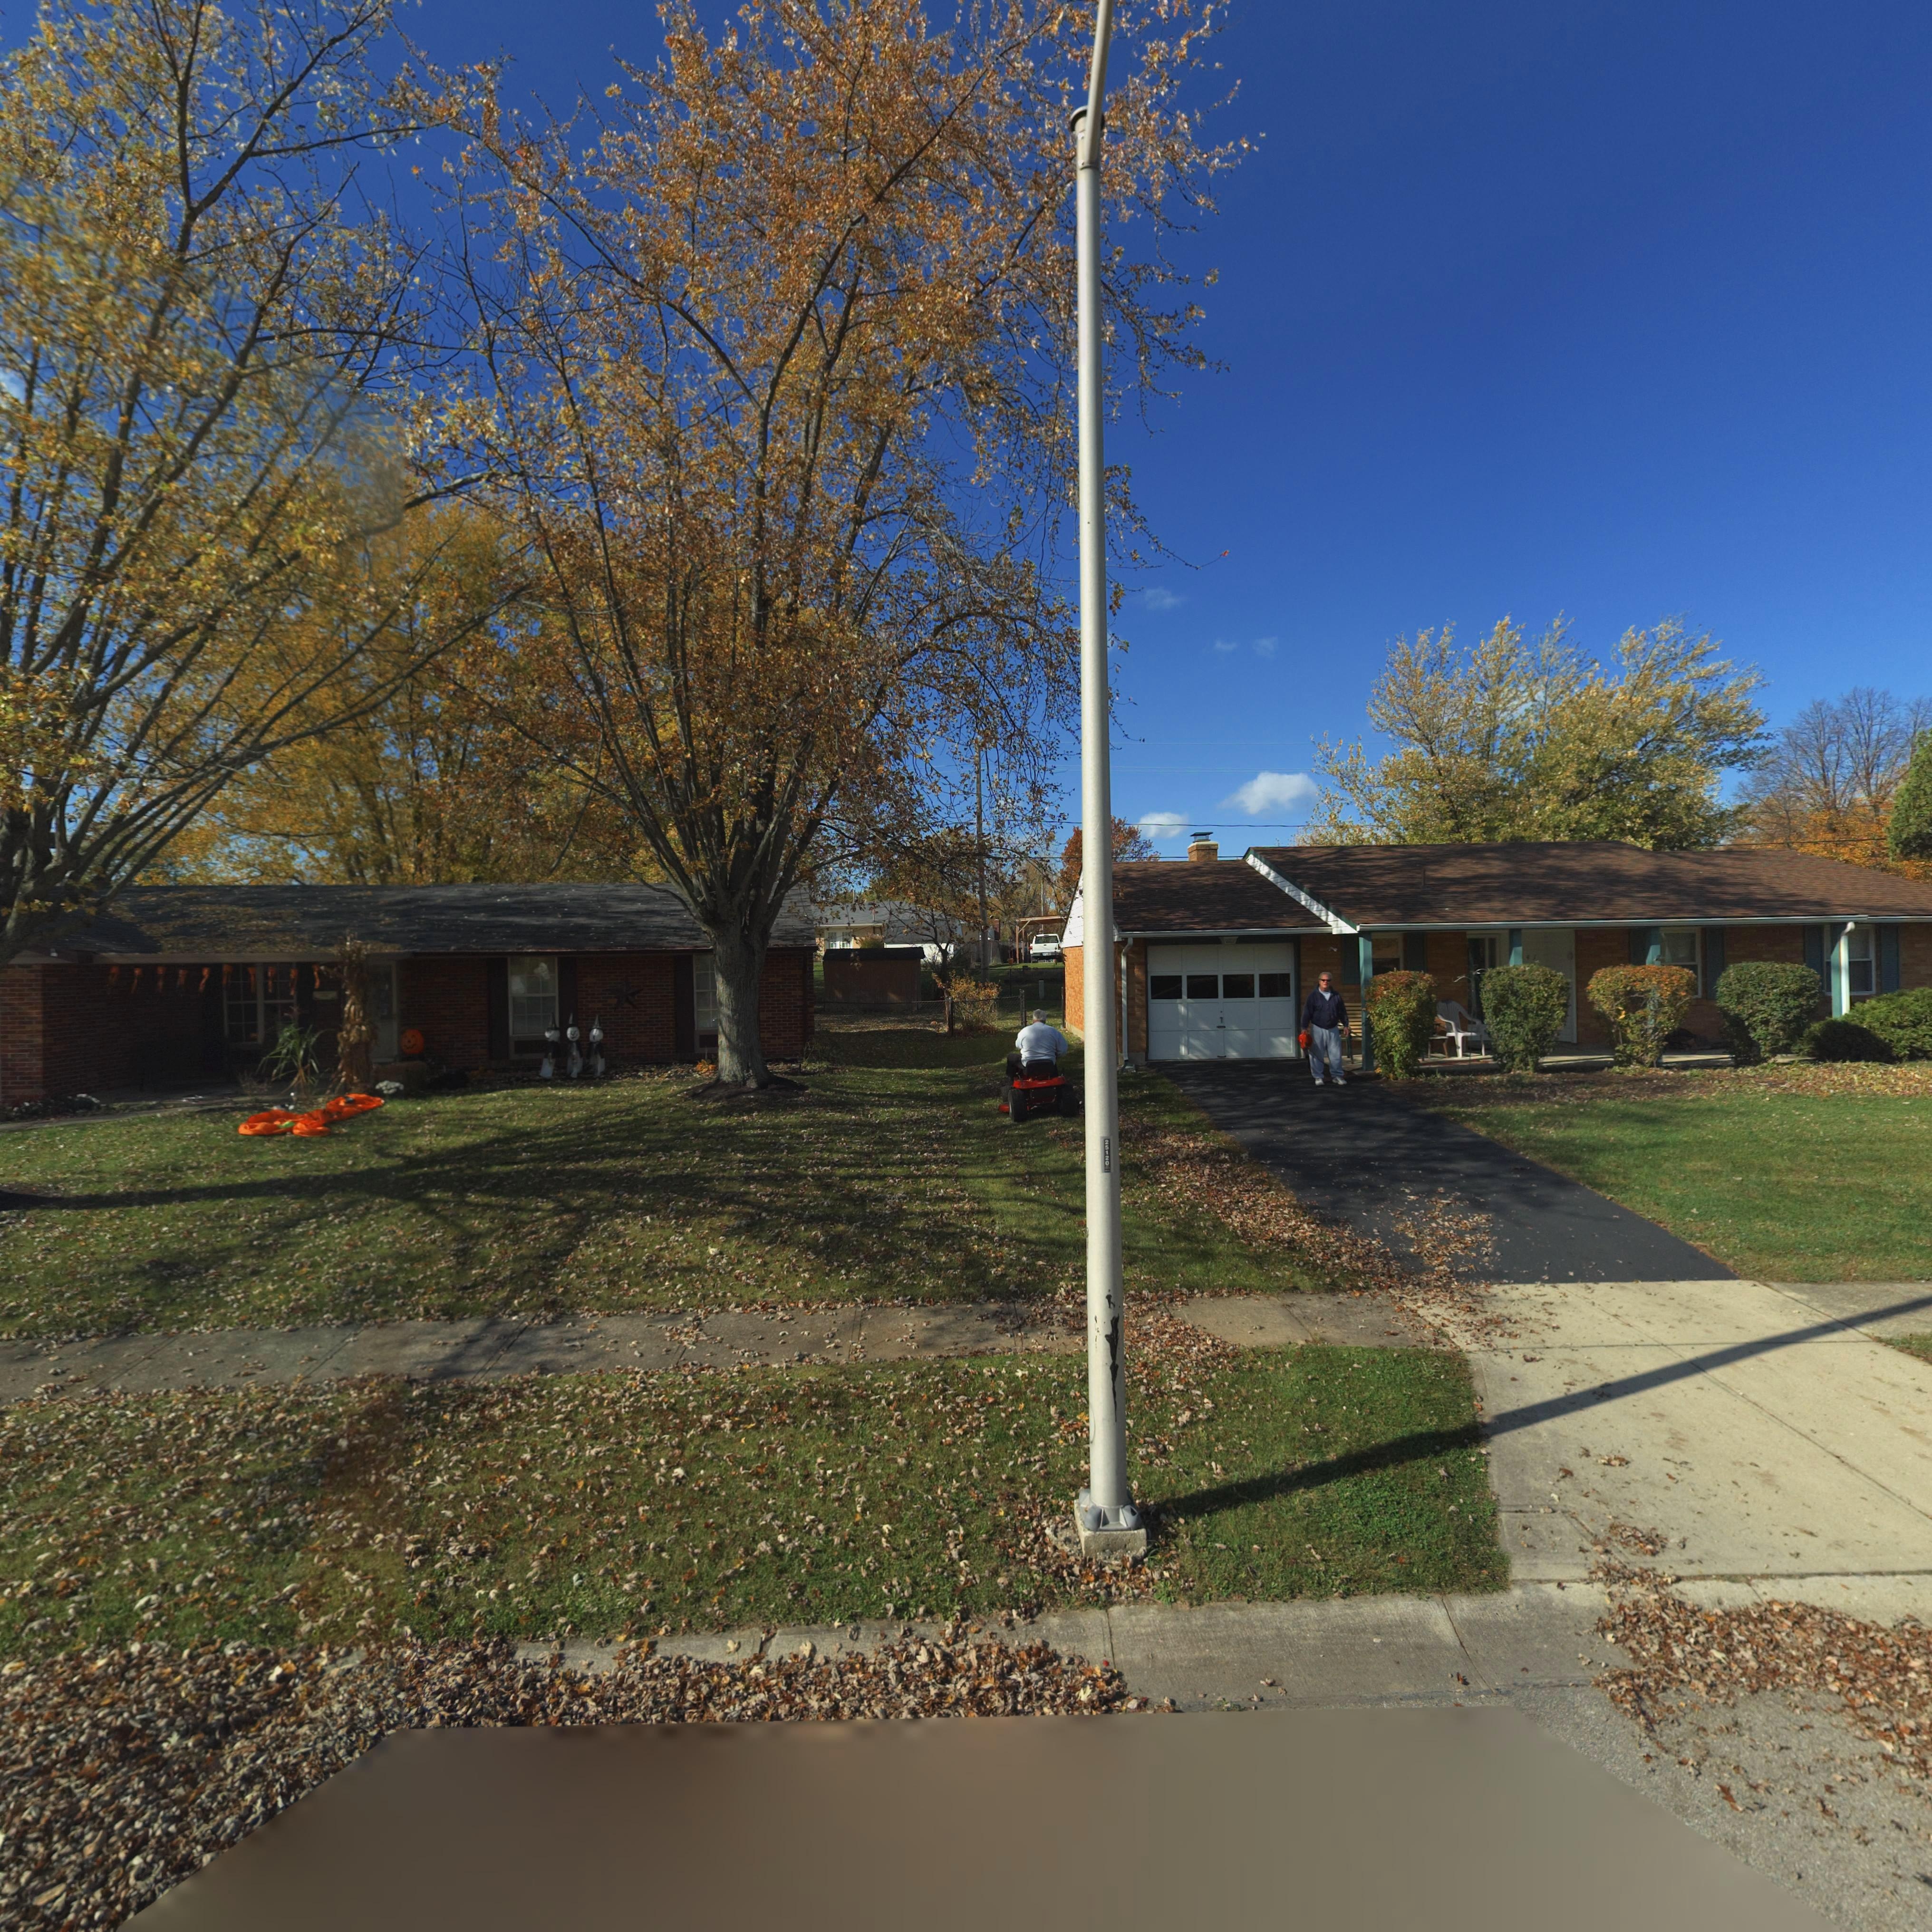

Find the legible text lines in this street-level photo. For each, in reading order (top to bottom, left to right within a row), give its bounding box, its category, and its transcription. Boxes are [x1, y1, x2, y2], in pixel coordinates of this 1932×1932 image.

[1525, 953, 1538, 962] StreetNumber: 41